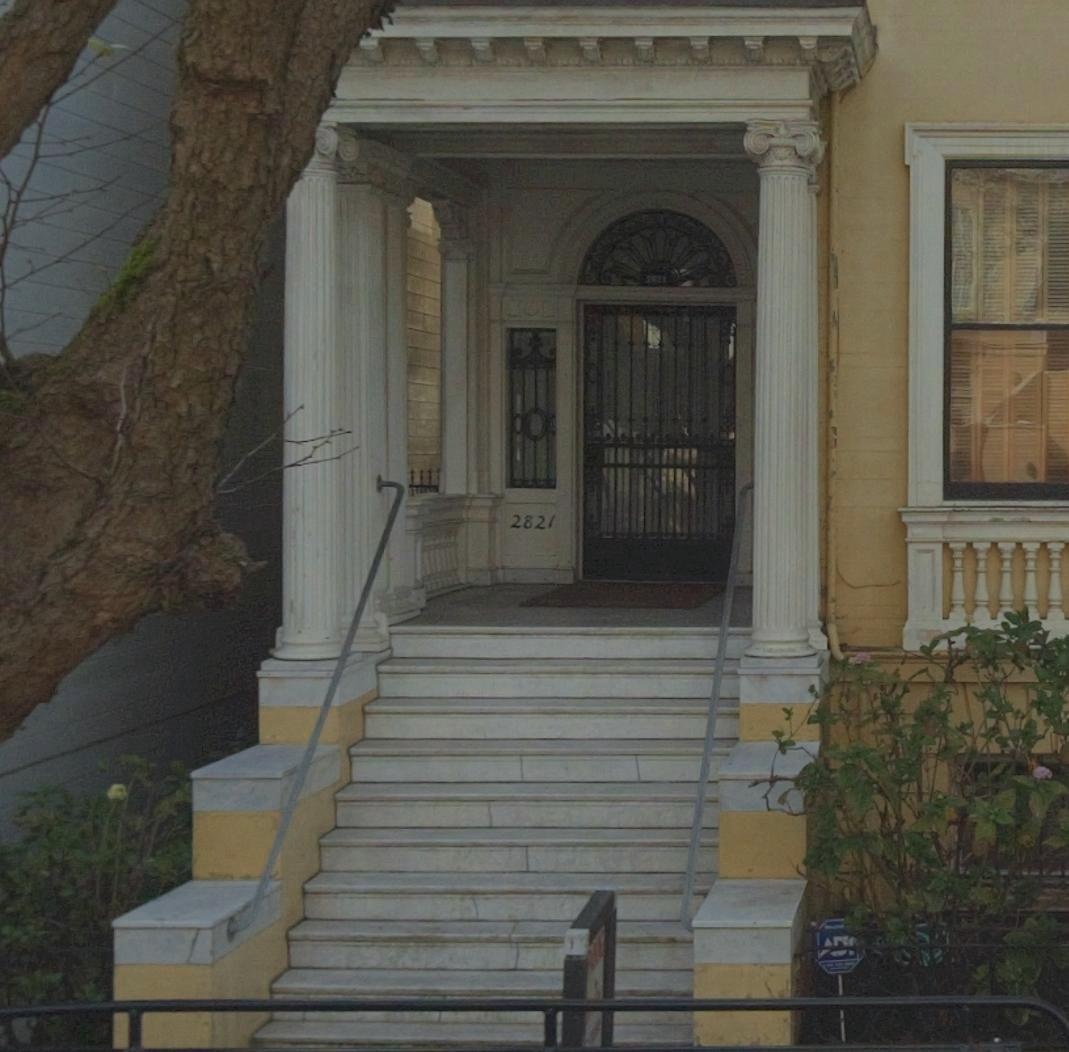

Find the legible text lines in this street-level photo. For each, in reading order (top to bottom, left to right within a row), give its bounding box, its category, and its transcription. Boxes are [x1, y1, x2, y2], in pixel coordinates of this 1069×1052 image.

[507, 512, 558, 531] StreetNumber: 2821